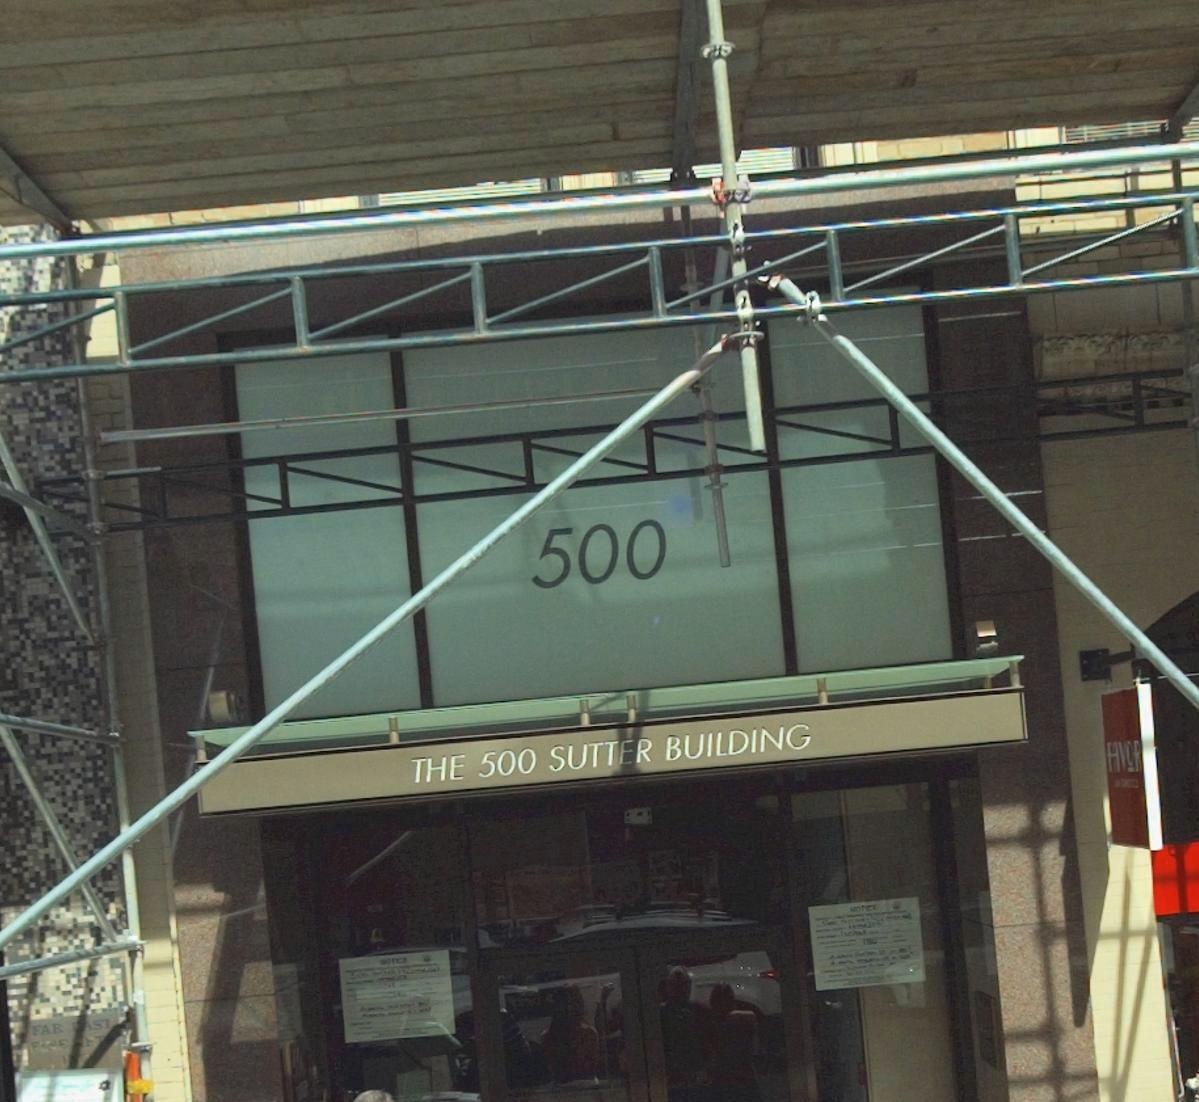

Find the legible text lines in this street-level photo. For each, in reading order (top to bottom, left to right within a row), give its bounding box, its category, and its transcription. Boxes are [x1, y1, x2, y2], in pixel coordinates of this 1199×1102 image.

[523, 512, 683, 594] StreetNumber: 500
[405, 718, 817, 789] None: THE 500 SUTTER BUILDING
[1102, 737, 1146, 775] BusinessName: FAVOR
[847, 901, 882, 916] None: NOTICE